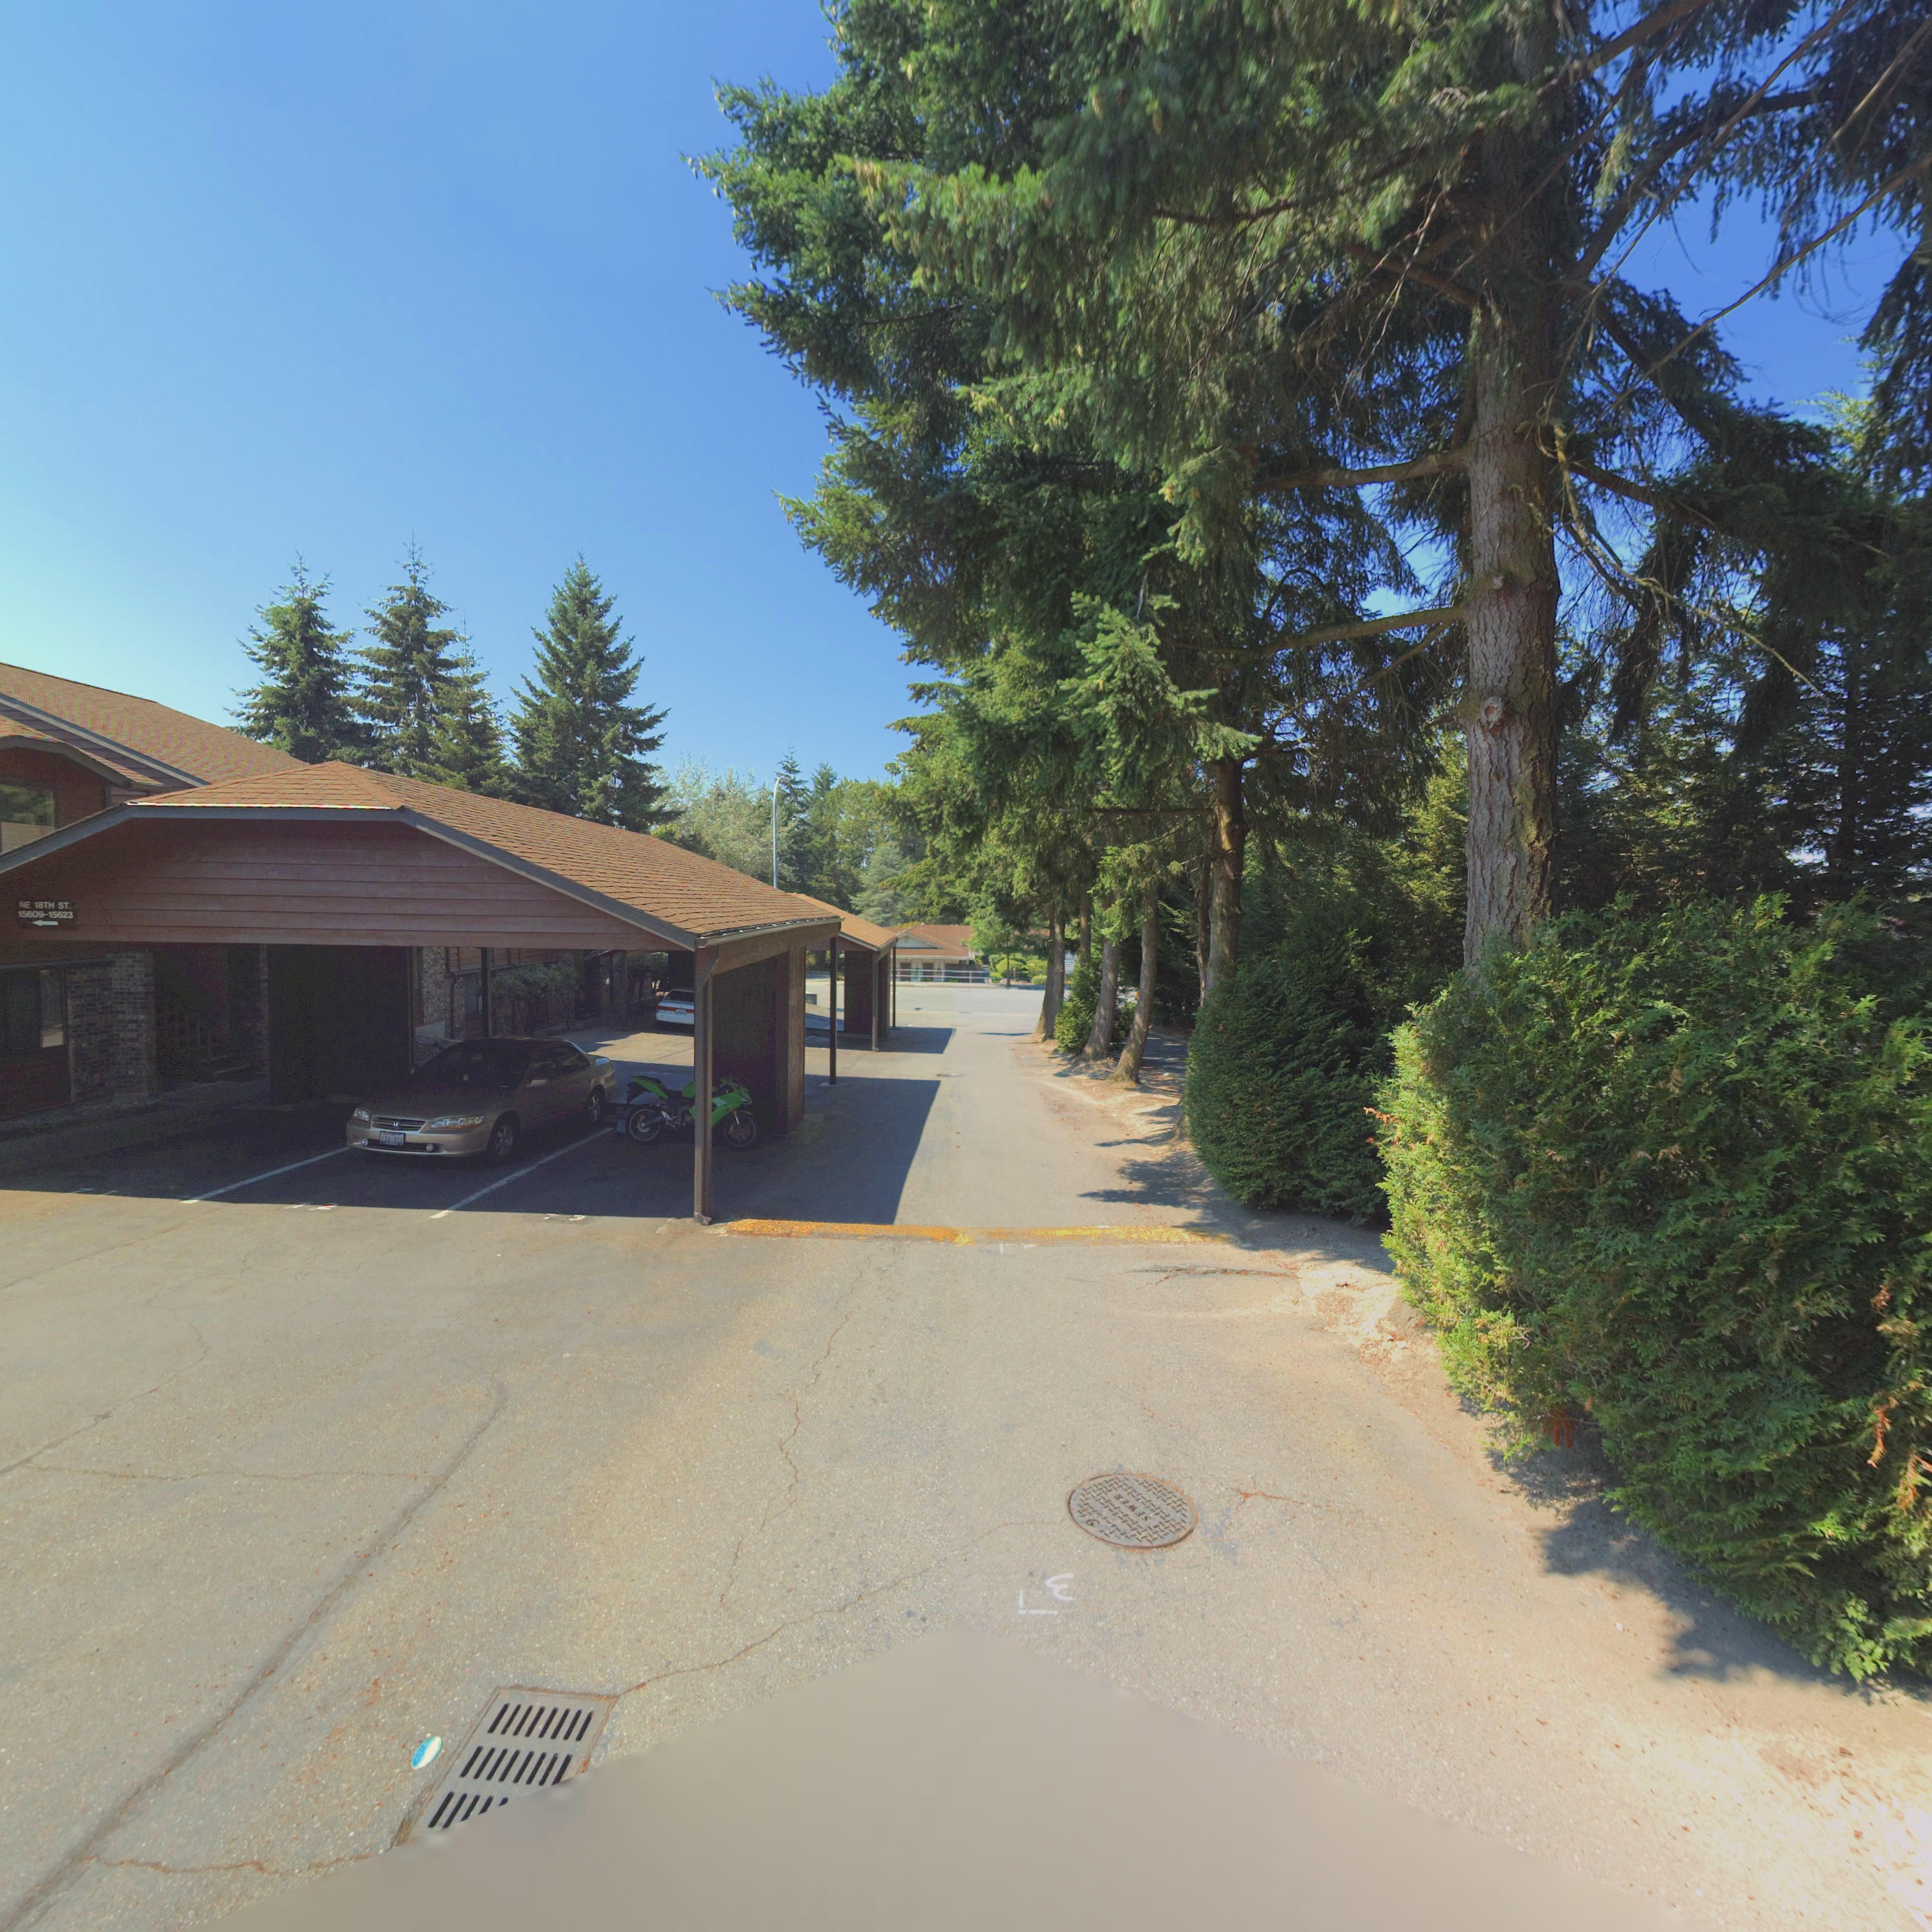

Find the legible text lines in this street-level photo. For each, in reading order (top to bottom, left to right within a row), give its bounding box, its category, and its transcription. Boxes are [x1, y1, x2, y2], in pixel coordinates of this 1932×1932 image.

[19, 902, 69, 909] StreetName: NE 18TH ST
[18, 911, 73, 918] PhoneNumber: 6803-5623